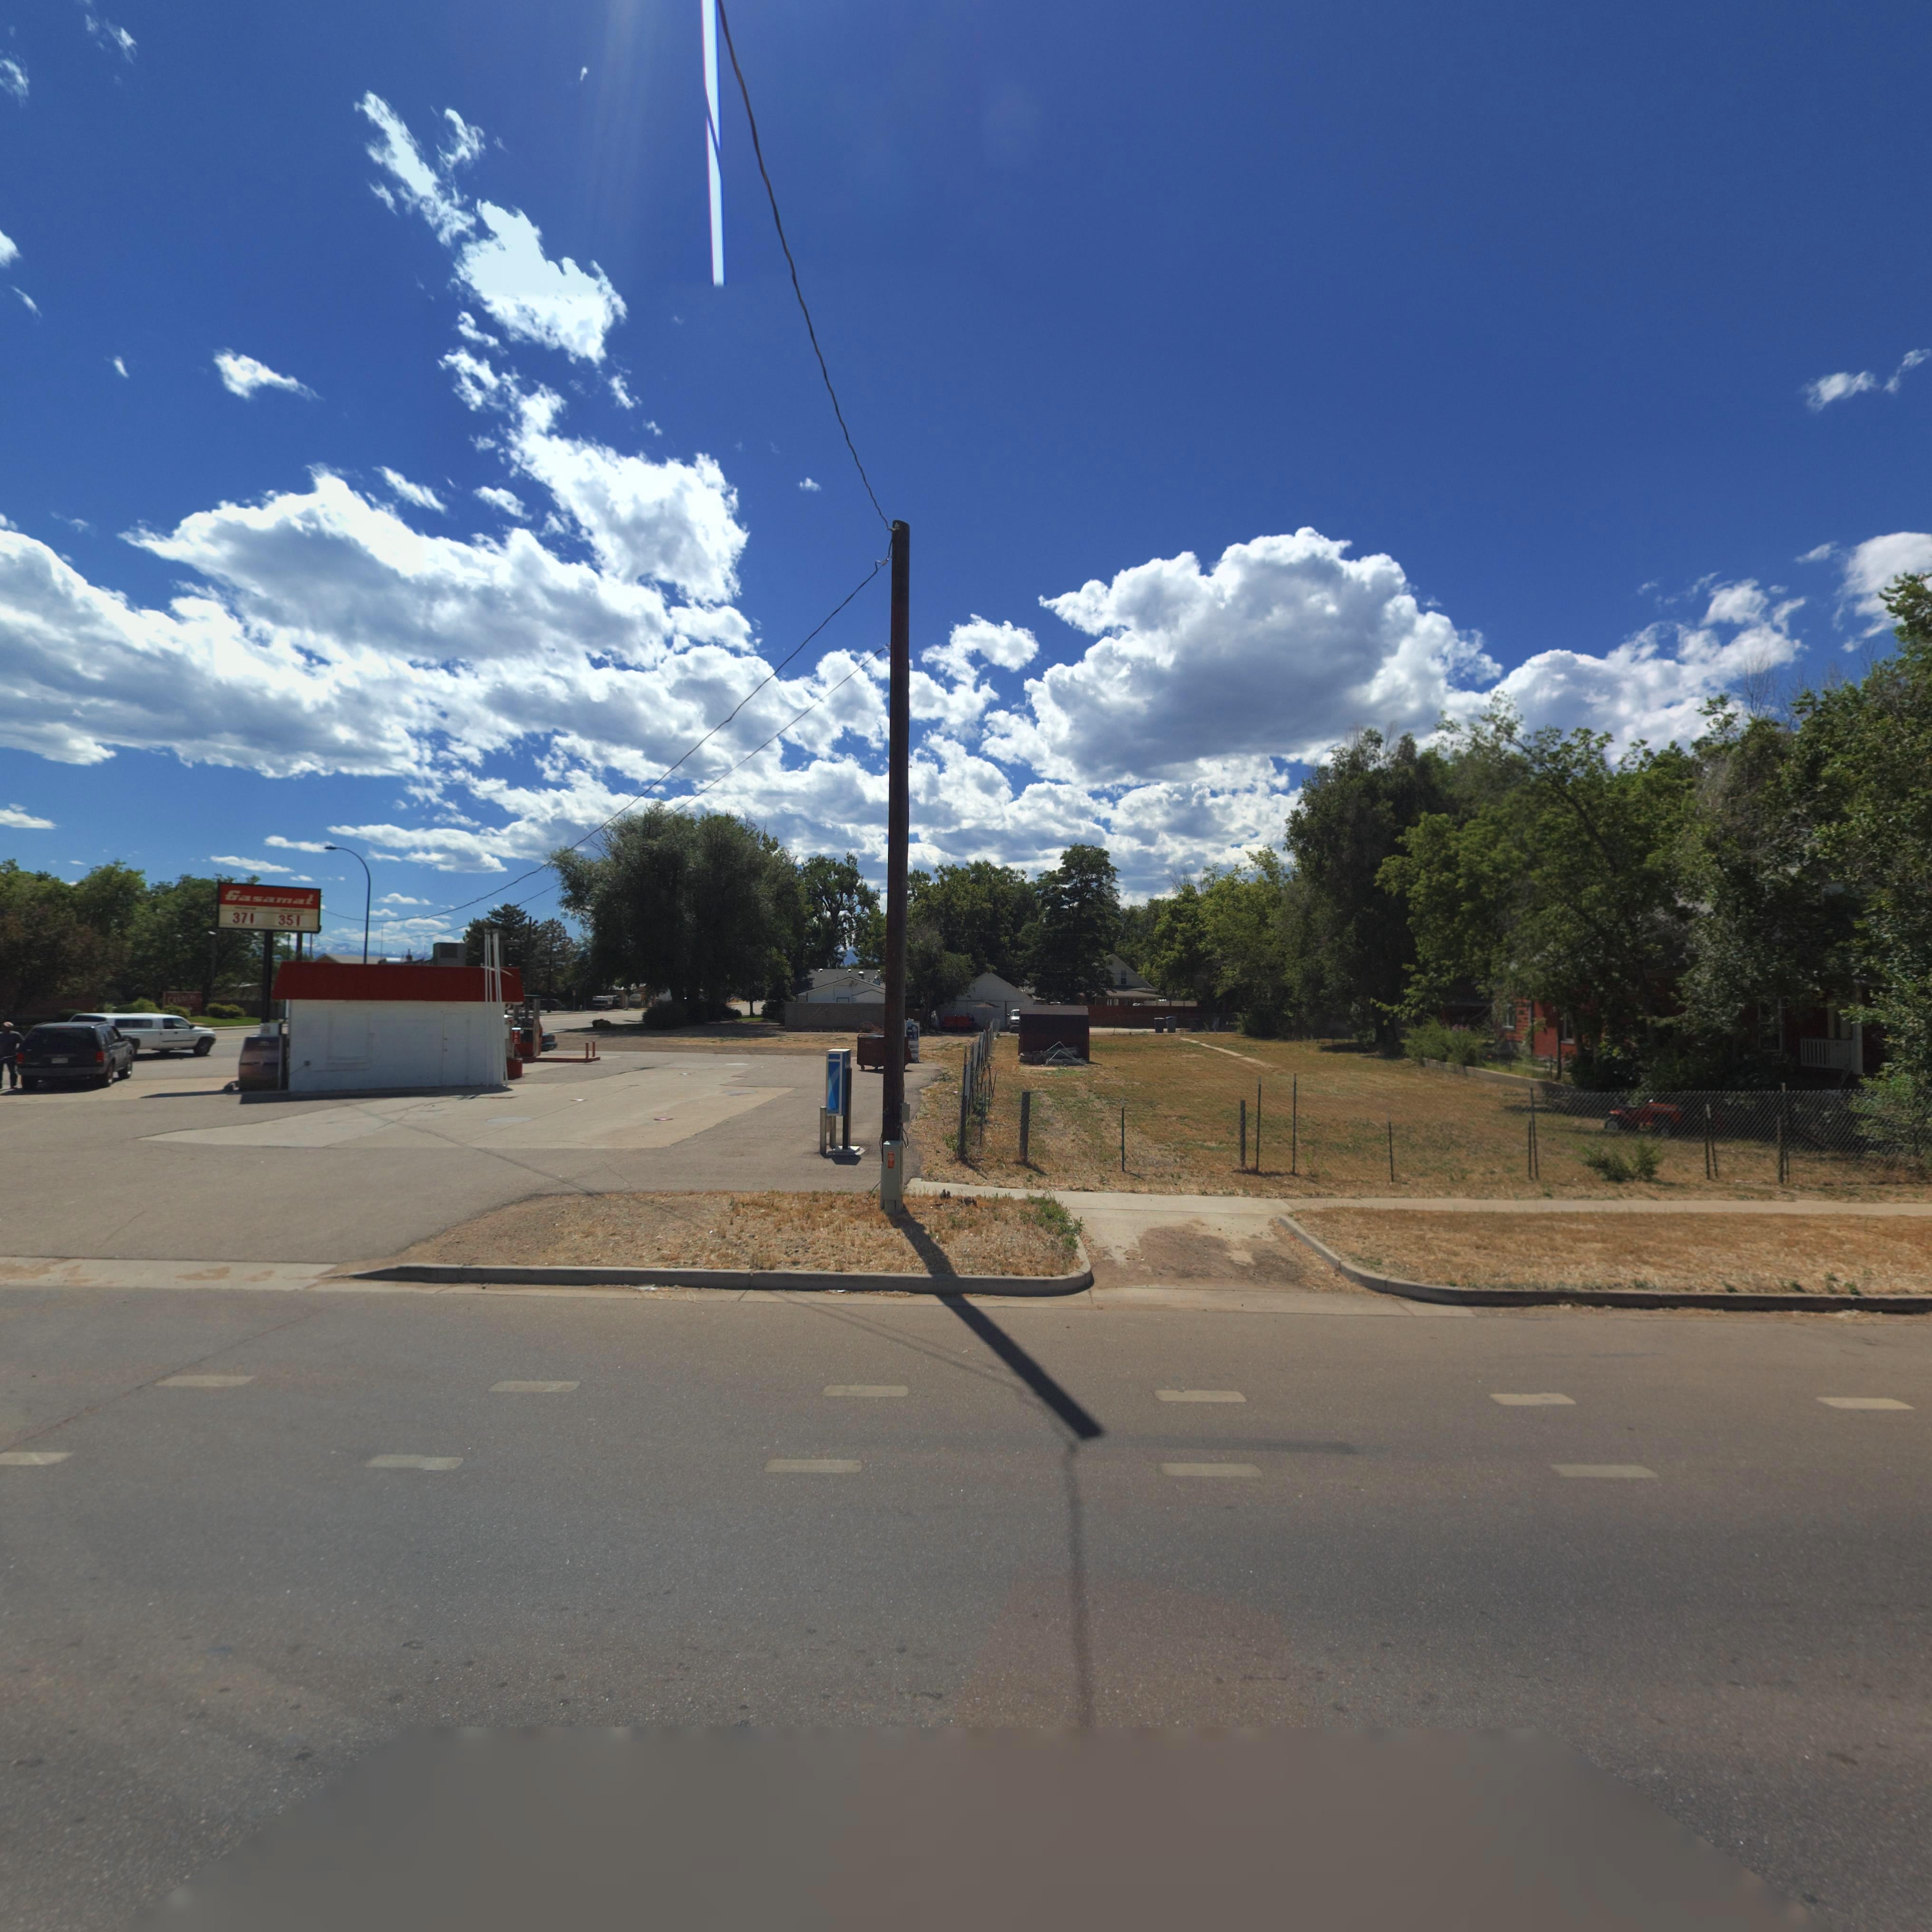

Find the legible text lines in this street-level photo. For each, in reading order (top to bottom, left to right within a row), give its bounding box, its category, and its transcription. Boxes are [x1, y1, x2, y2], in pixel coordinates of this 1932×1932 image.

[224, 889, 314, 905] BusinessName: Gasamat